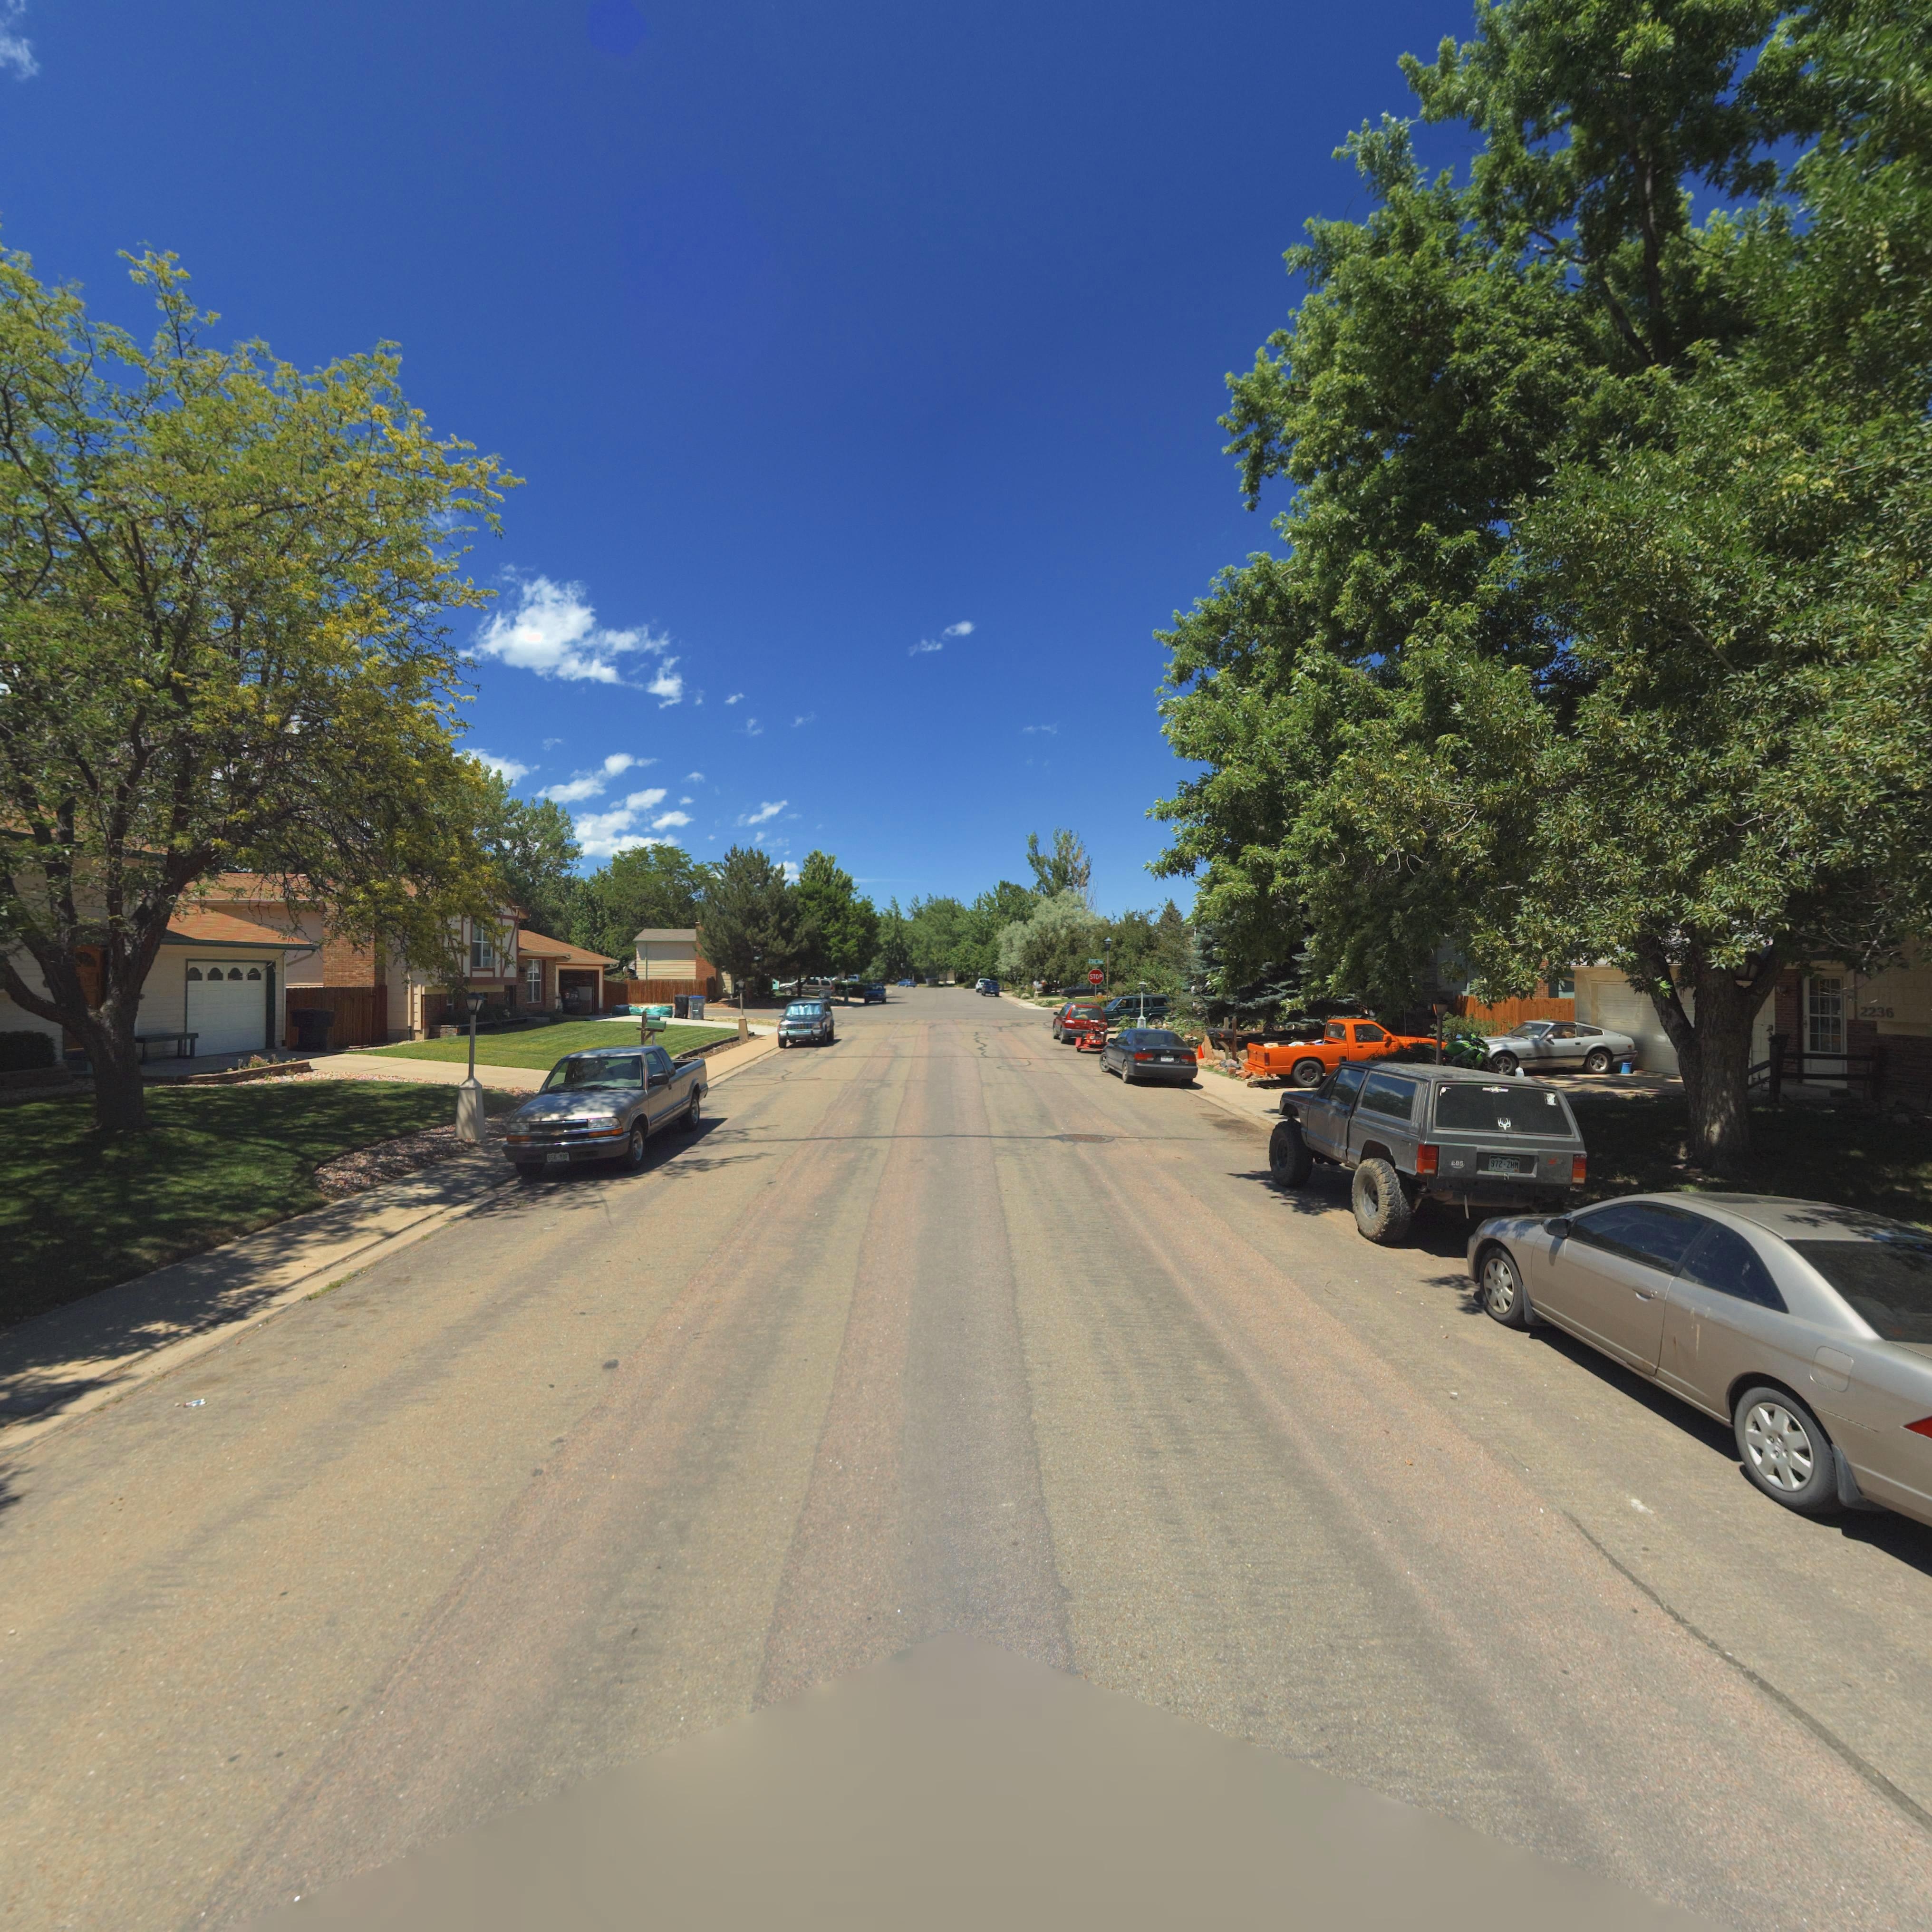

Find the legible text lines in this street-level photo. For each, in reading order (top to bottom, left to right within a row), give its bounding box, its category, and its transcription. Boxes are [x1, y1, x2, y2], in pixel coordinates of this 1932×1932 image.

[1089, 959, 1103, 964] StreetName: 23** A**